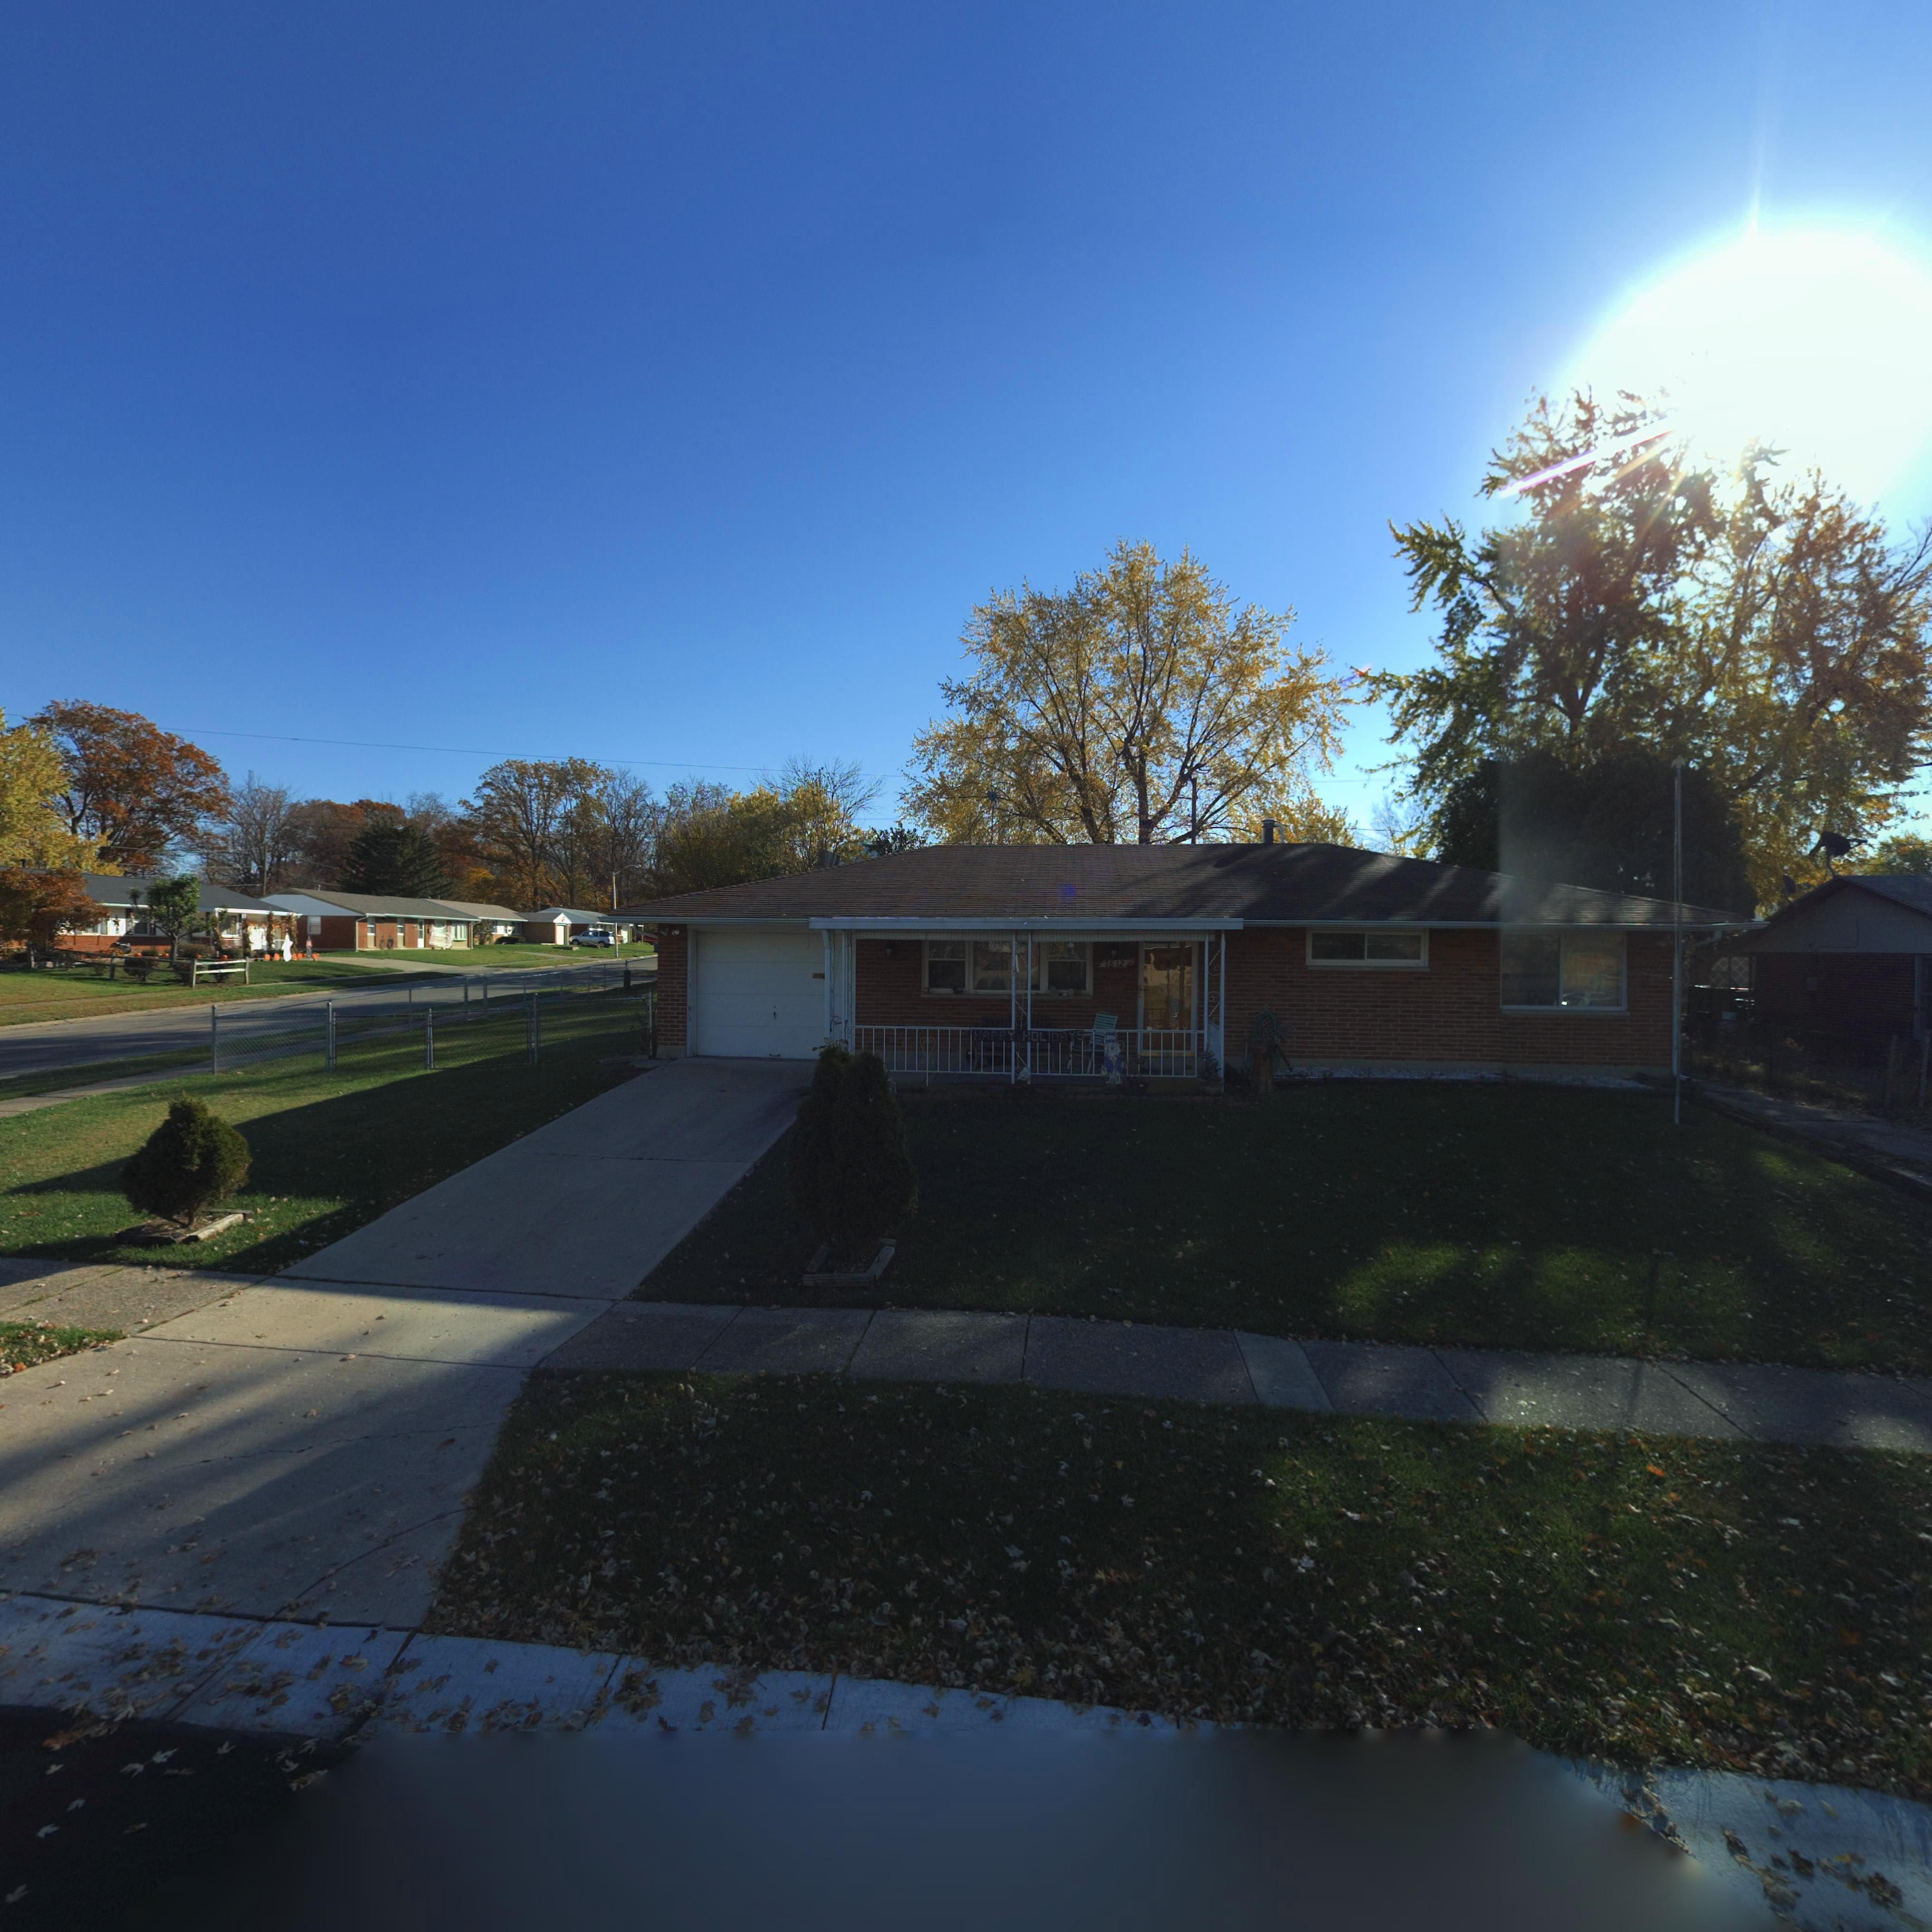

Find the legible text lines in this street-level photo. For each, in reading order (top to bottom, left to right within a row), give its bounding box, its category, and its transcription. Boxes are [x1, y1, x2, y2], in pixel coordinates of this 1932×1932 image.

[1104, 958, 1125, 968] StreetNumber: 7812